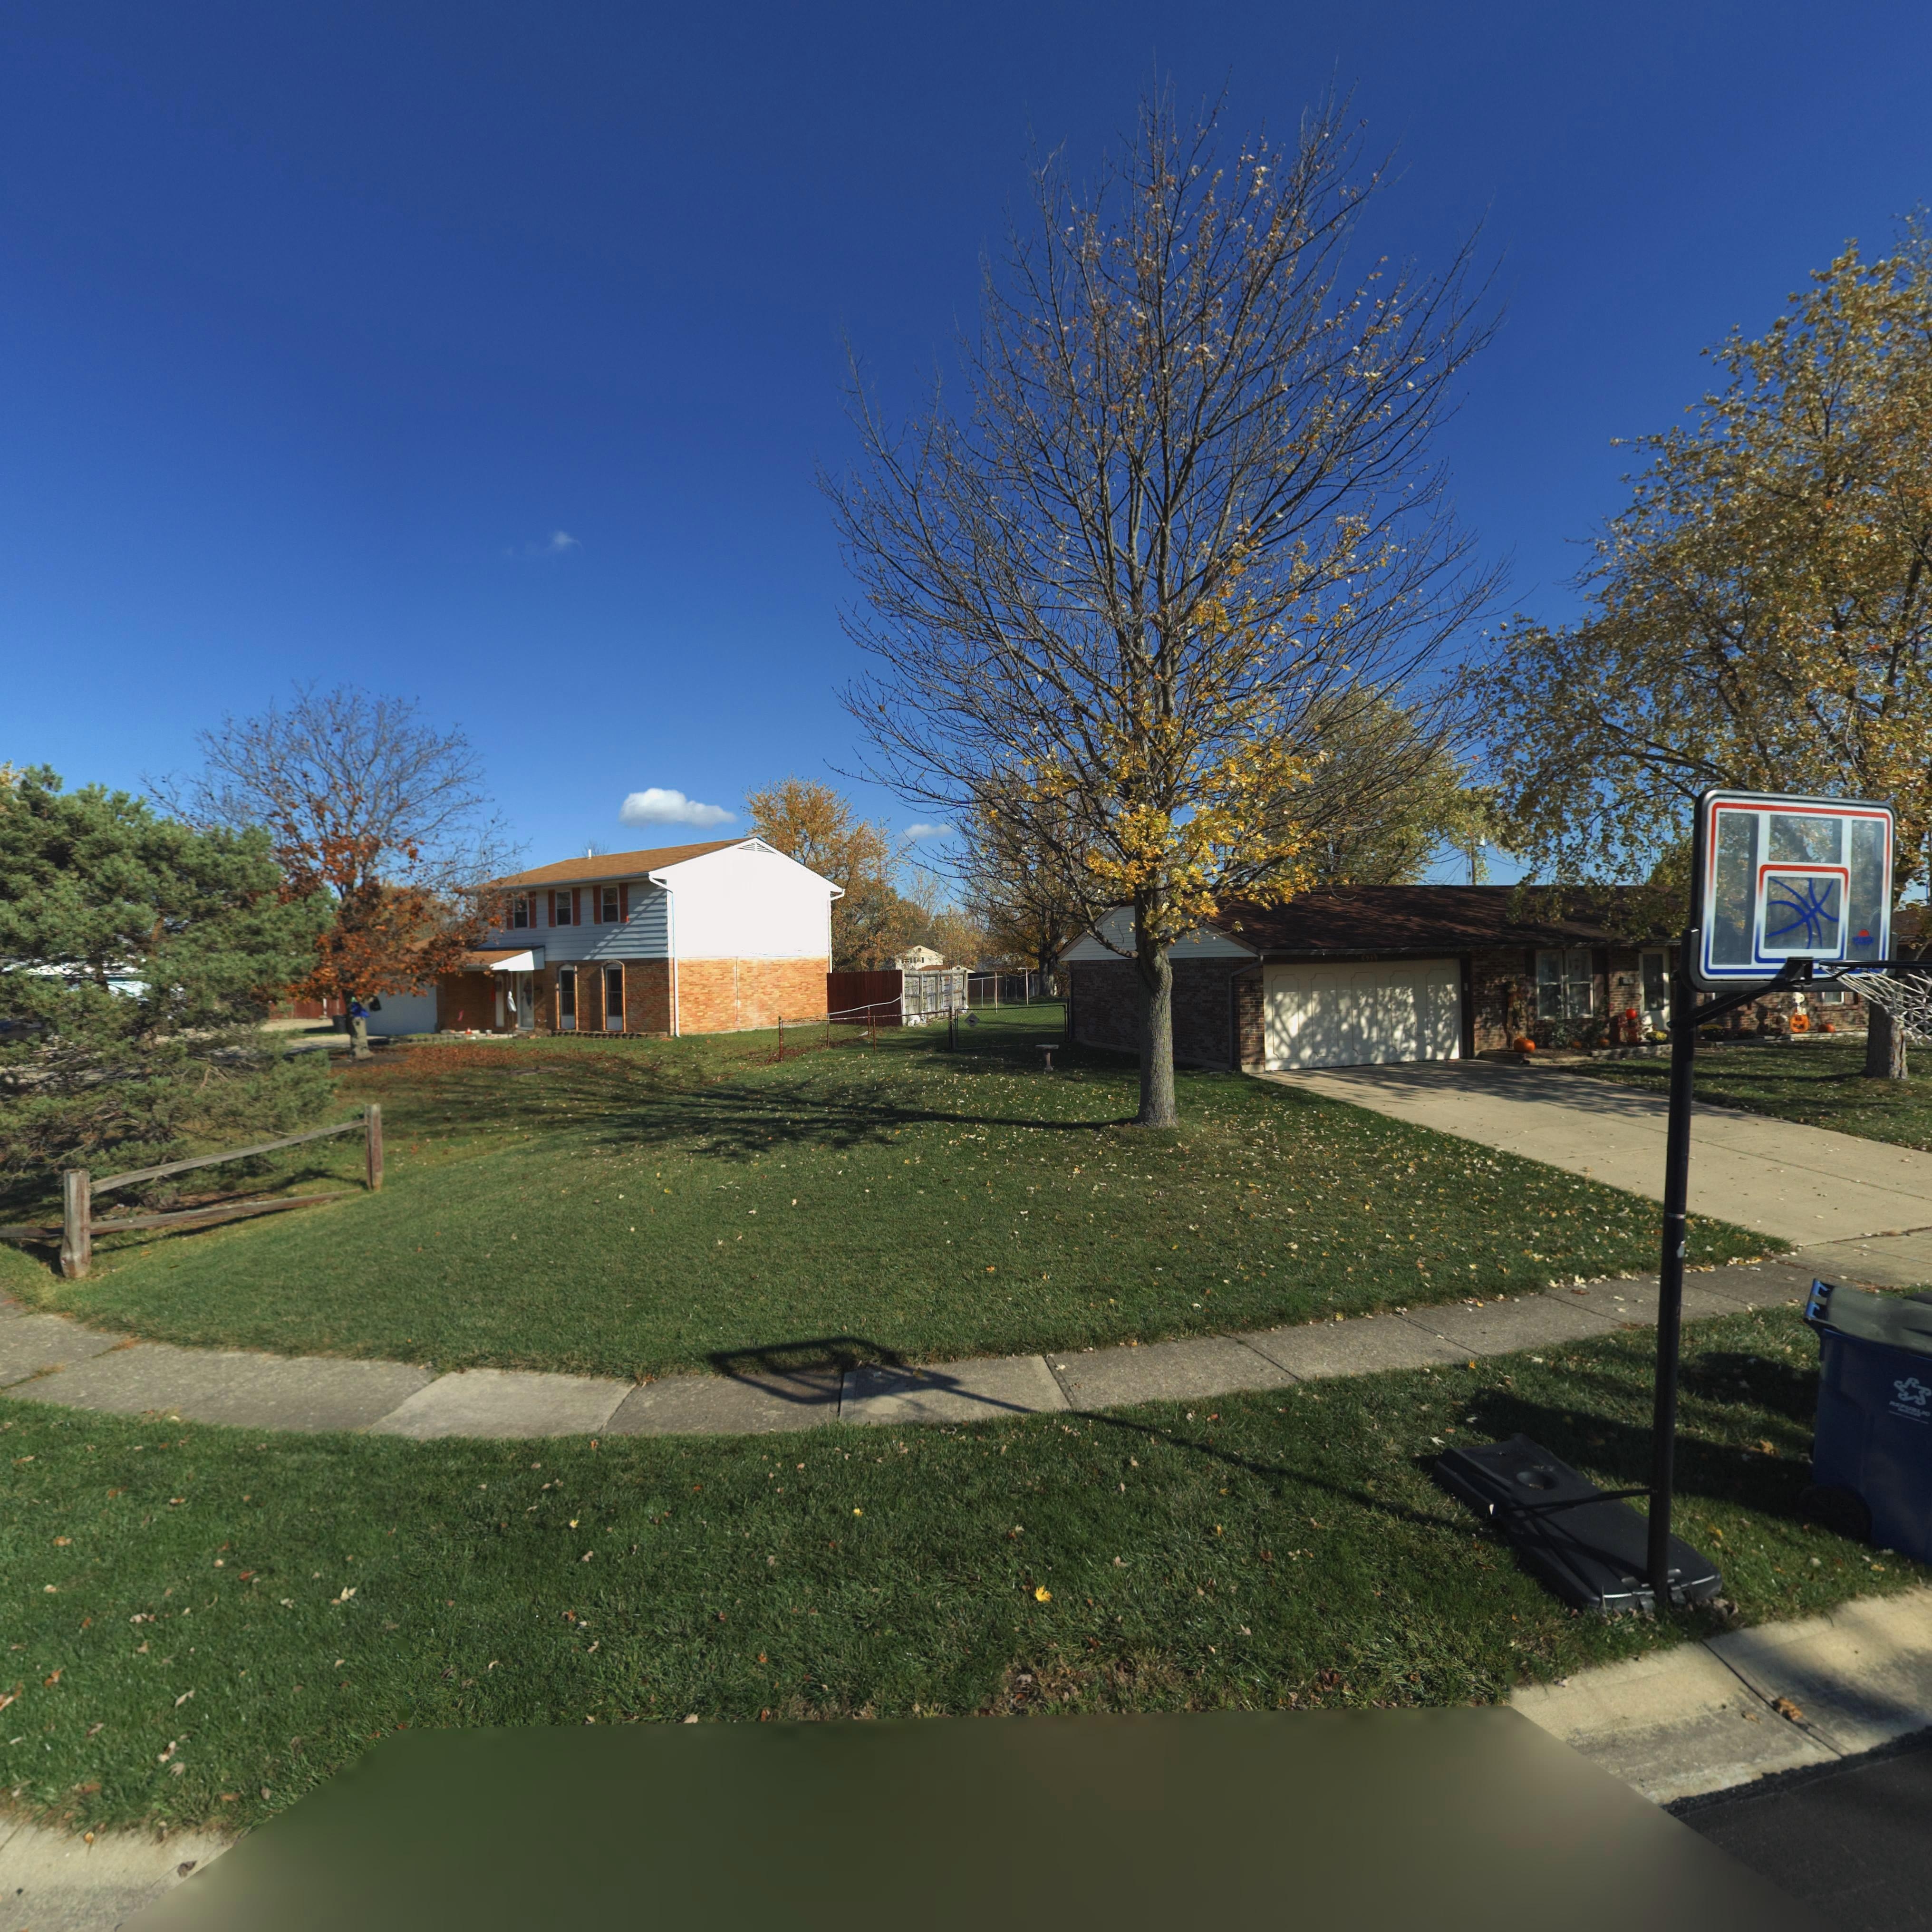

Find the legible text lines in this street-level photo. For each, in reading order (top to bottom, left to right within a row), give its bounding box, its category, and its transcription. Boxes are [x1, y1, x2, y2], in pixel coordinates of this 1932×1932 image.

[1360, 954, 1379, 962] StreetNumber: 6939